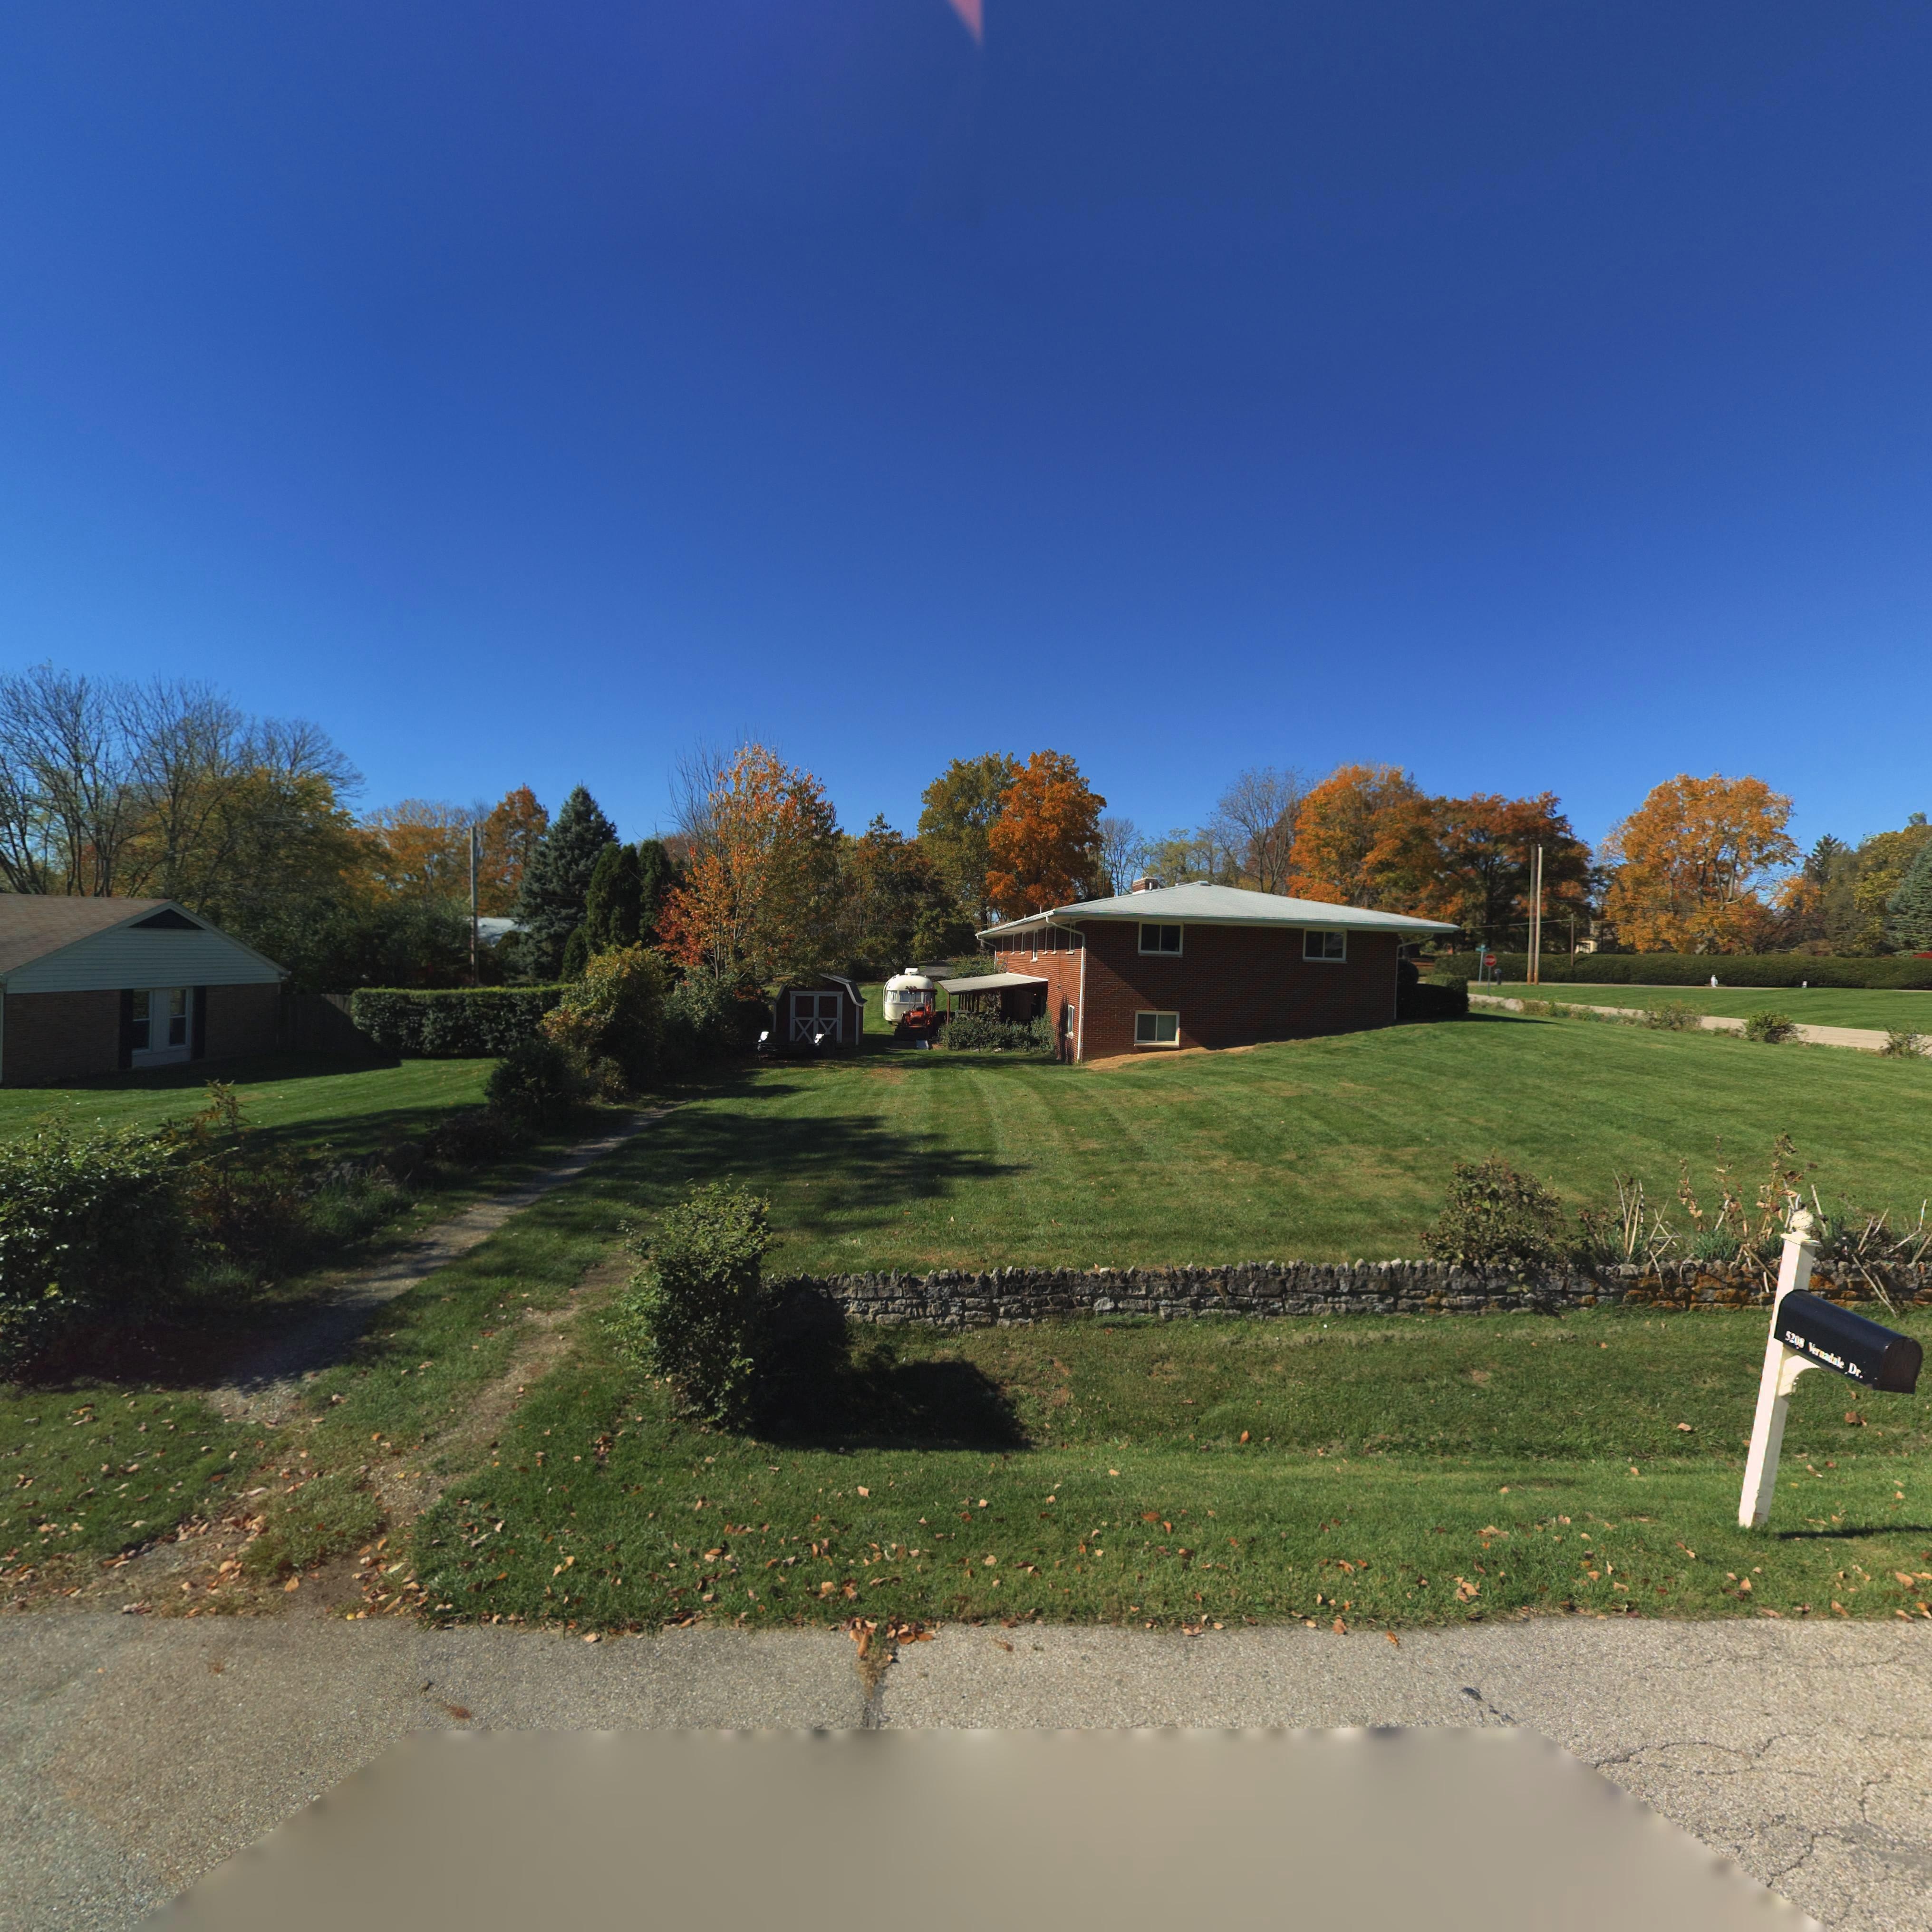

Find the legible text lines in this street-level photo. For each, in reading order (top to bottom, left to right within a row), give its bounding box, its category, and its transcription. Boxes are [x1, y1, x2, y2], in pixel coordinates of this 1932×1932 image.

[1784, 1328, 1807, 1350] StreetNumber: 5208